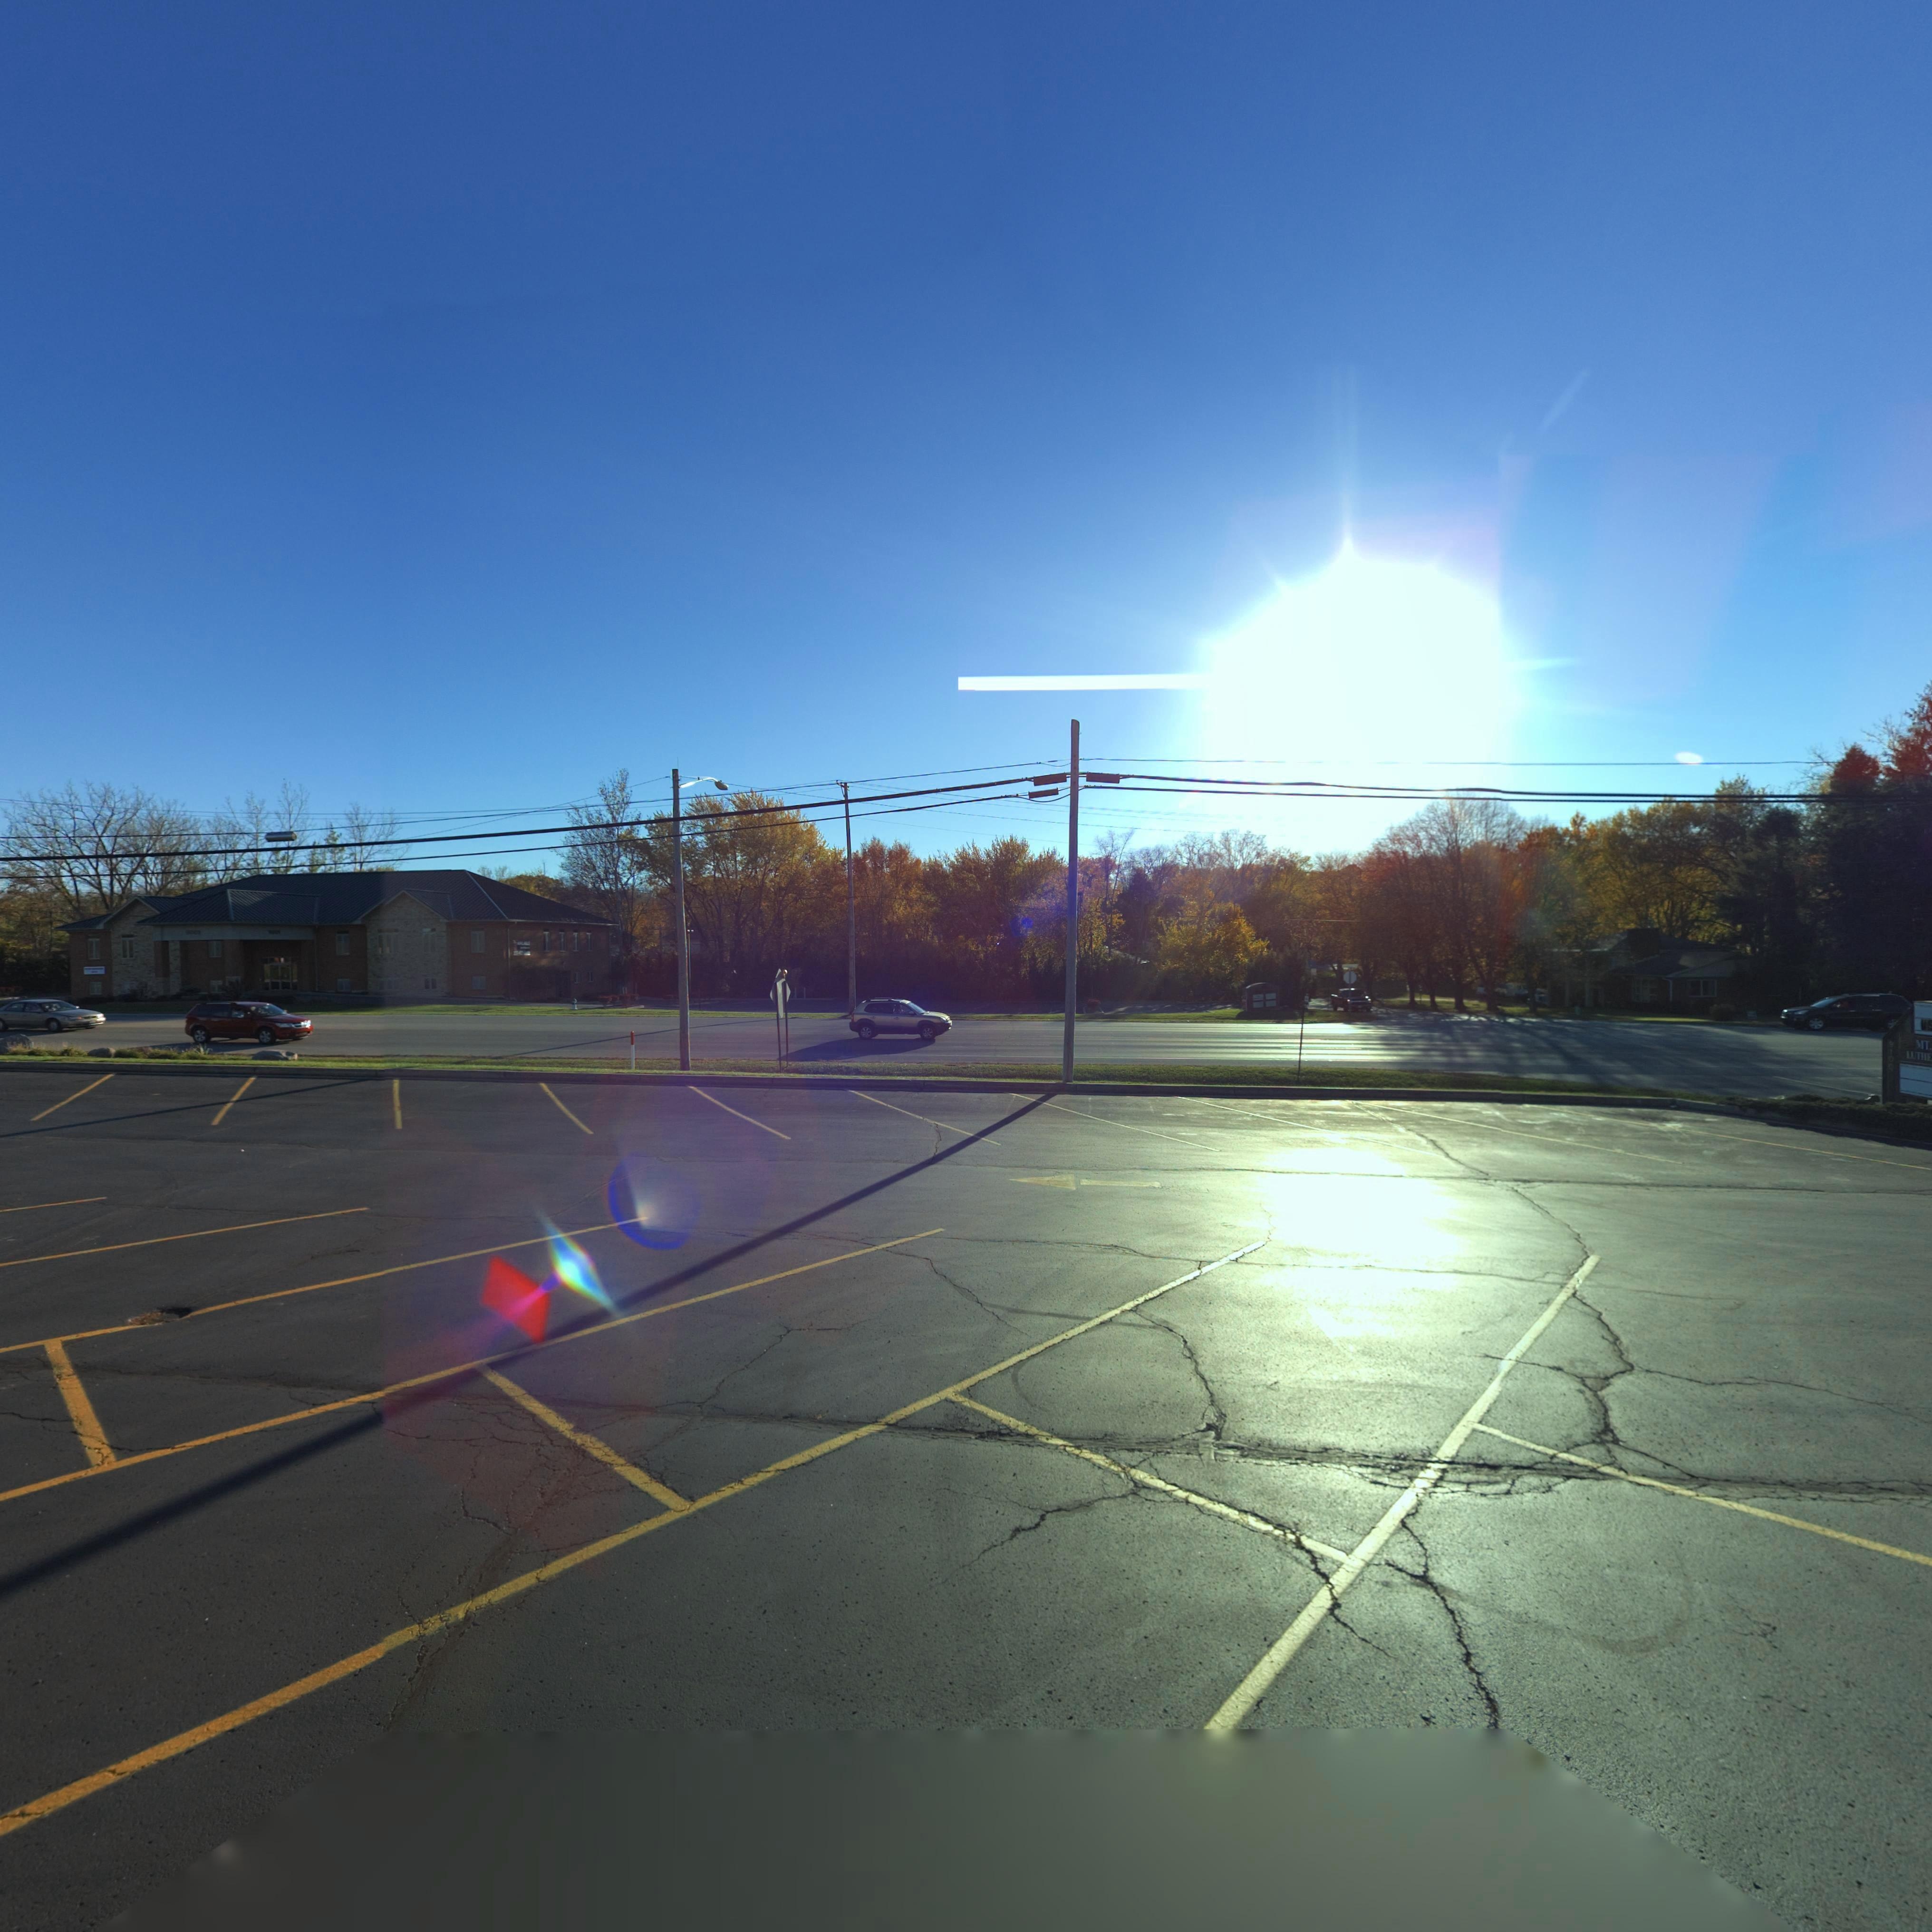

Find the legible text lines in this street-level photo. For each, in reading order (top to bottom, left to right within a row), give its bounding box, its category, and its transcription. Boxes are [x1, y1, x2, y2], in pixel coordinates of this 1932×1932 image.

[184, 929, 202, 935] StreetNumber: 9001
[267, 929, 281, 935] StreetNumber: 9001
[1887, 1040, 1895, 1072] StreetNumber: 9100